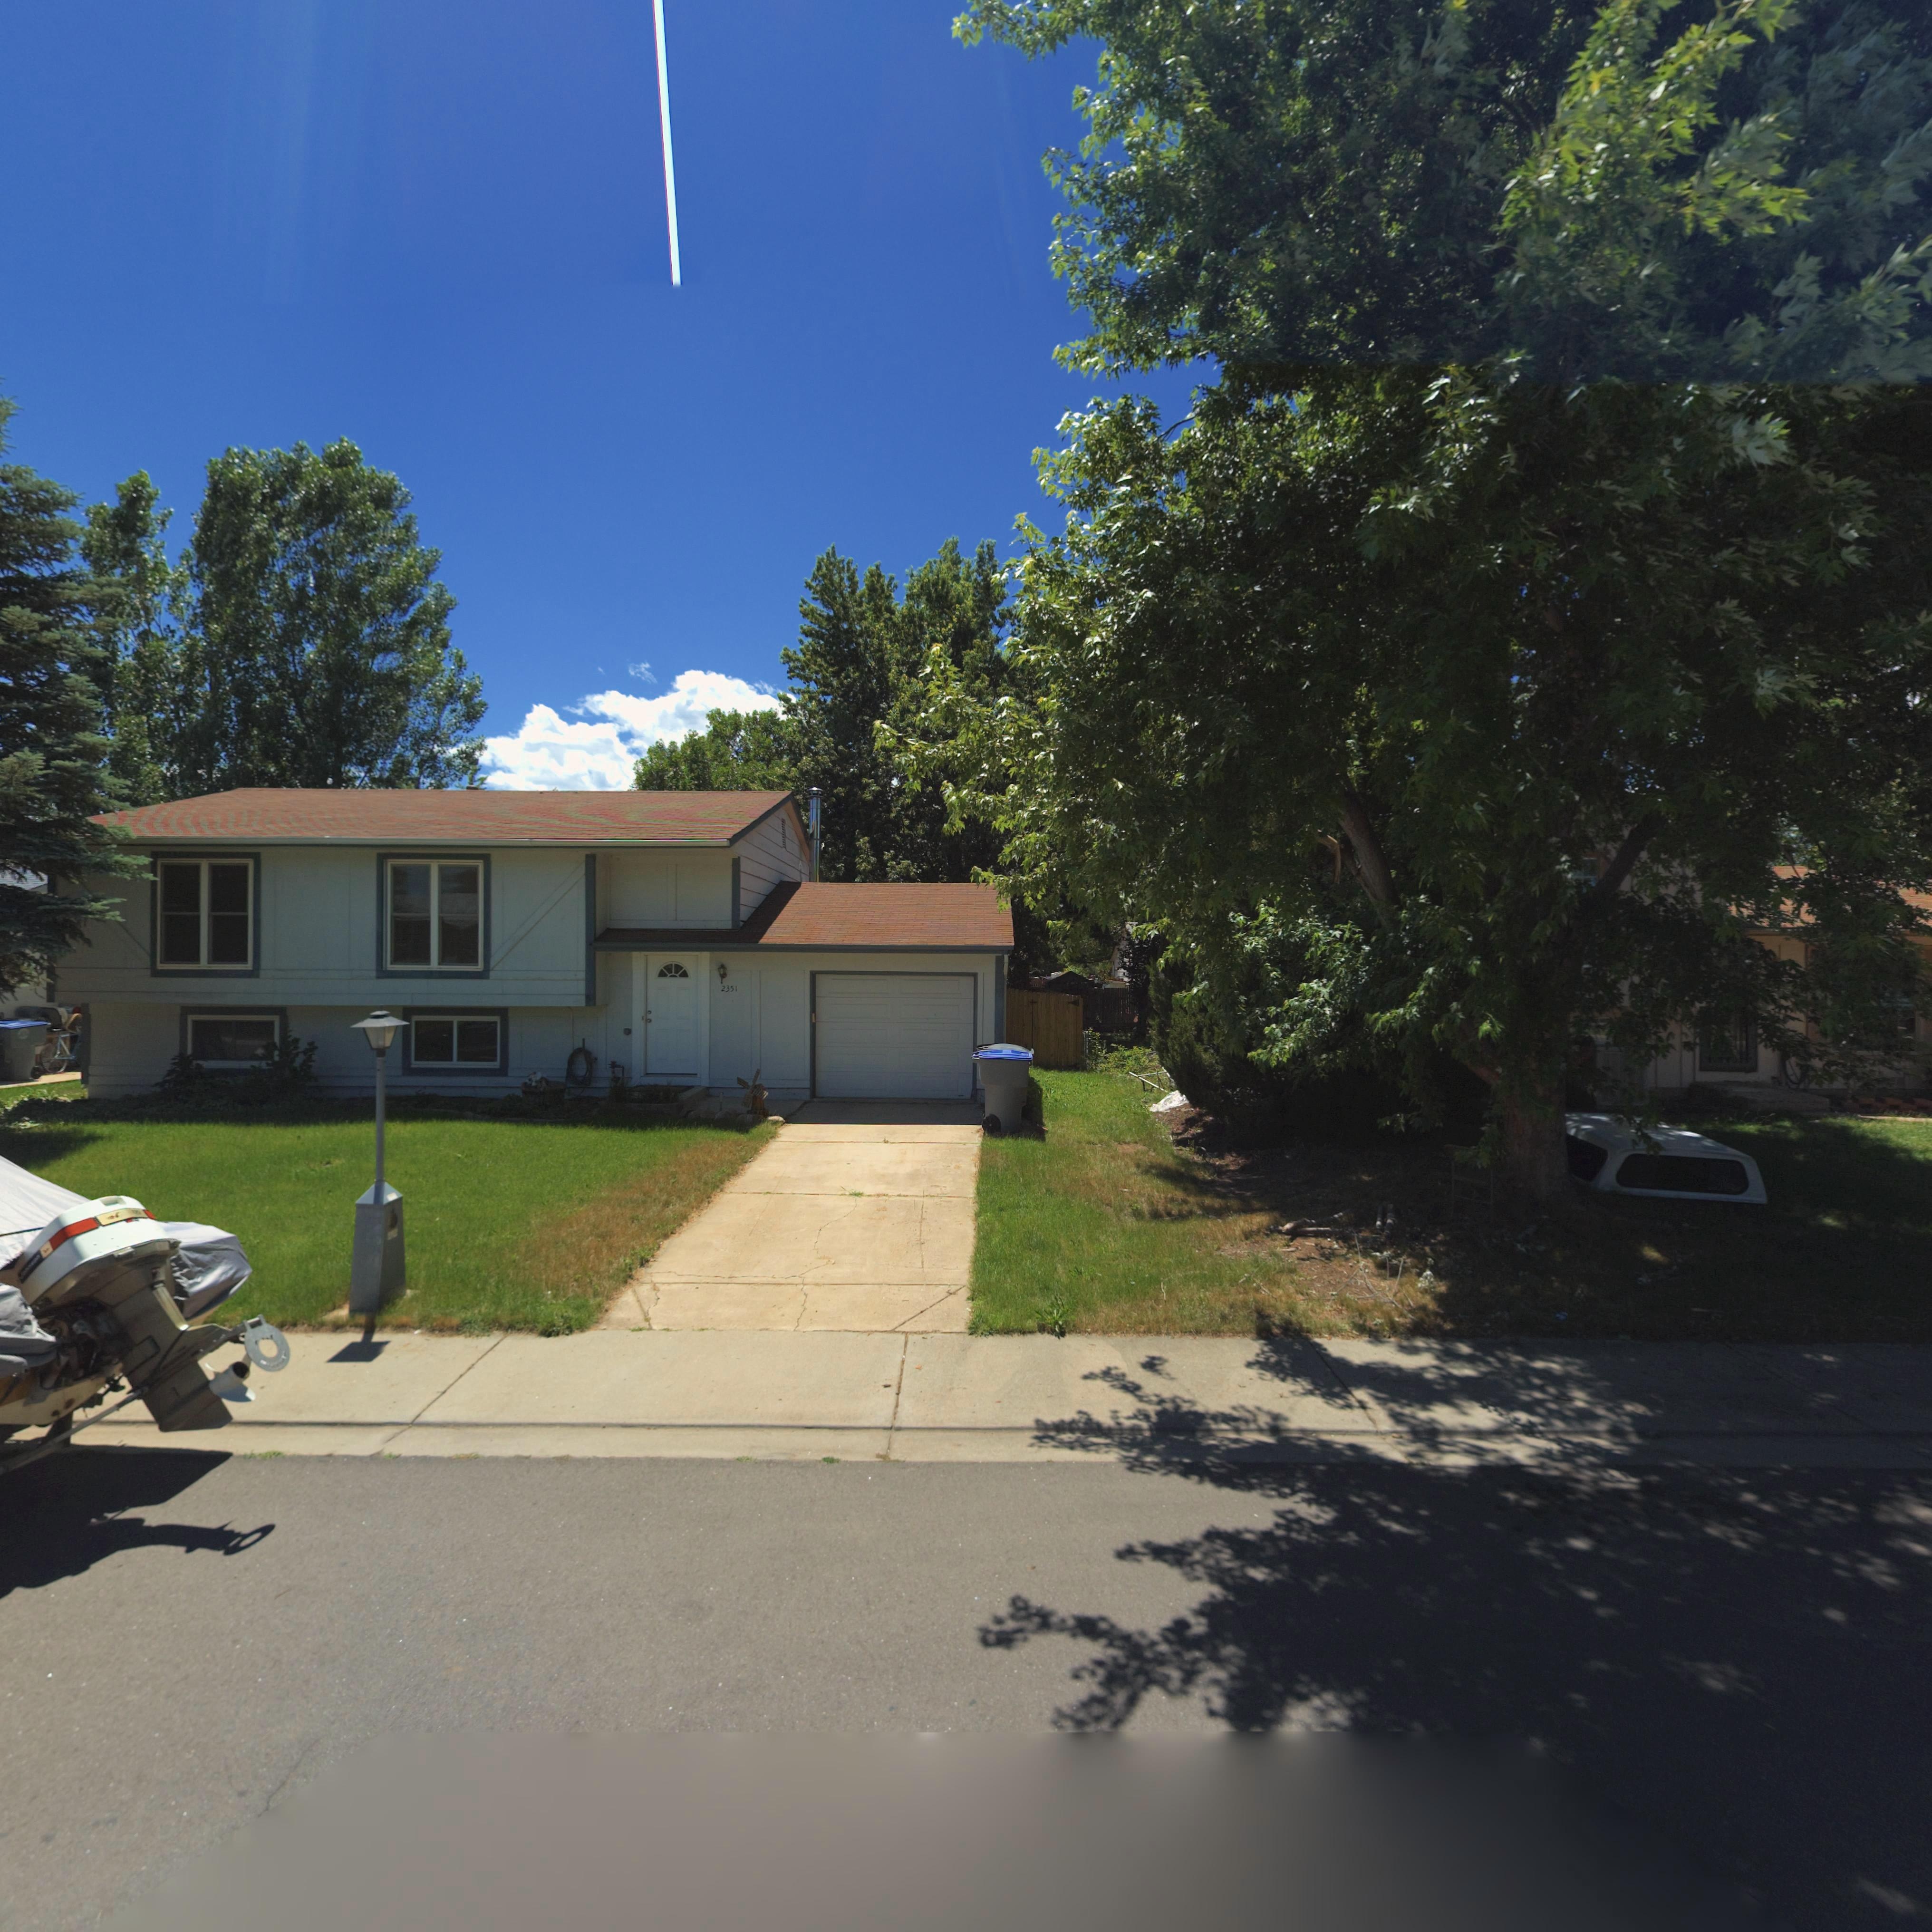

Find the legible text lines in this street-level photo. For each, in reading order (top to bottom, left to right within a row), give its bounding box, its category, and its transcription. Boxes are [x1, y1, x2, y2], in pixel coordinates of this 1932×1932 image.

[720, 985, 737, 992] StreetNumber: 2351